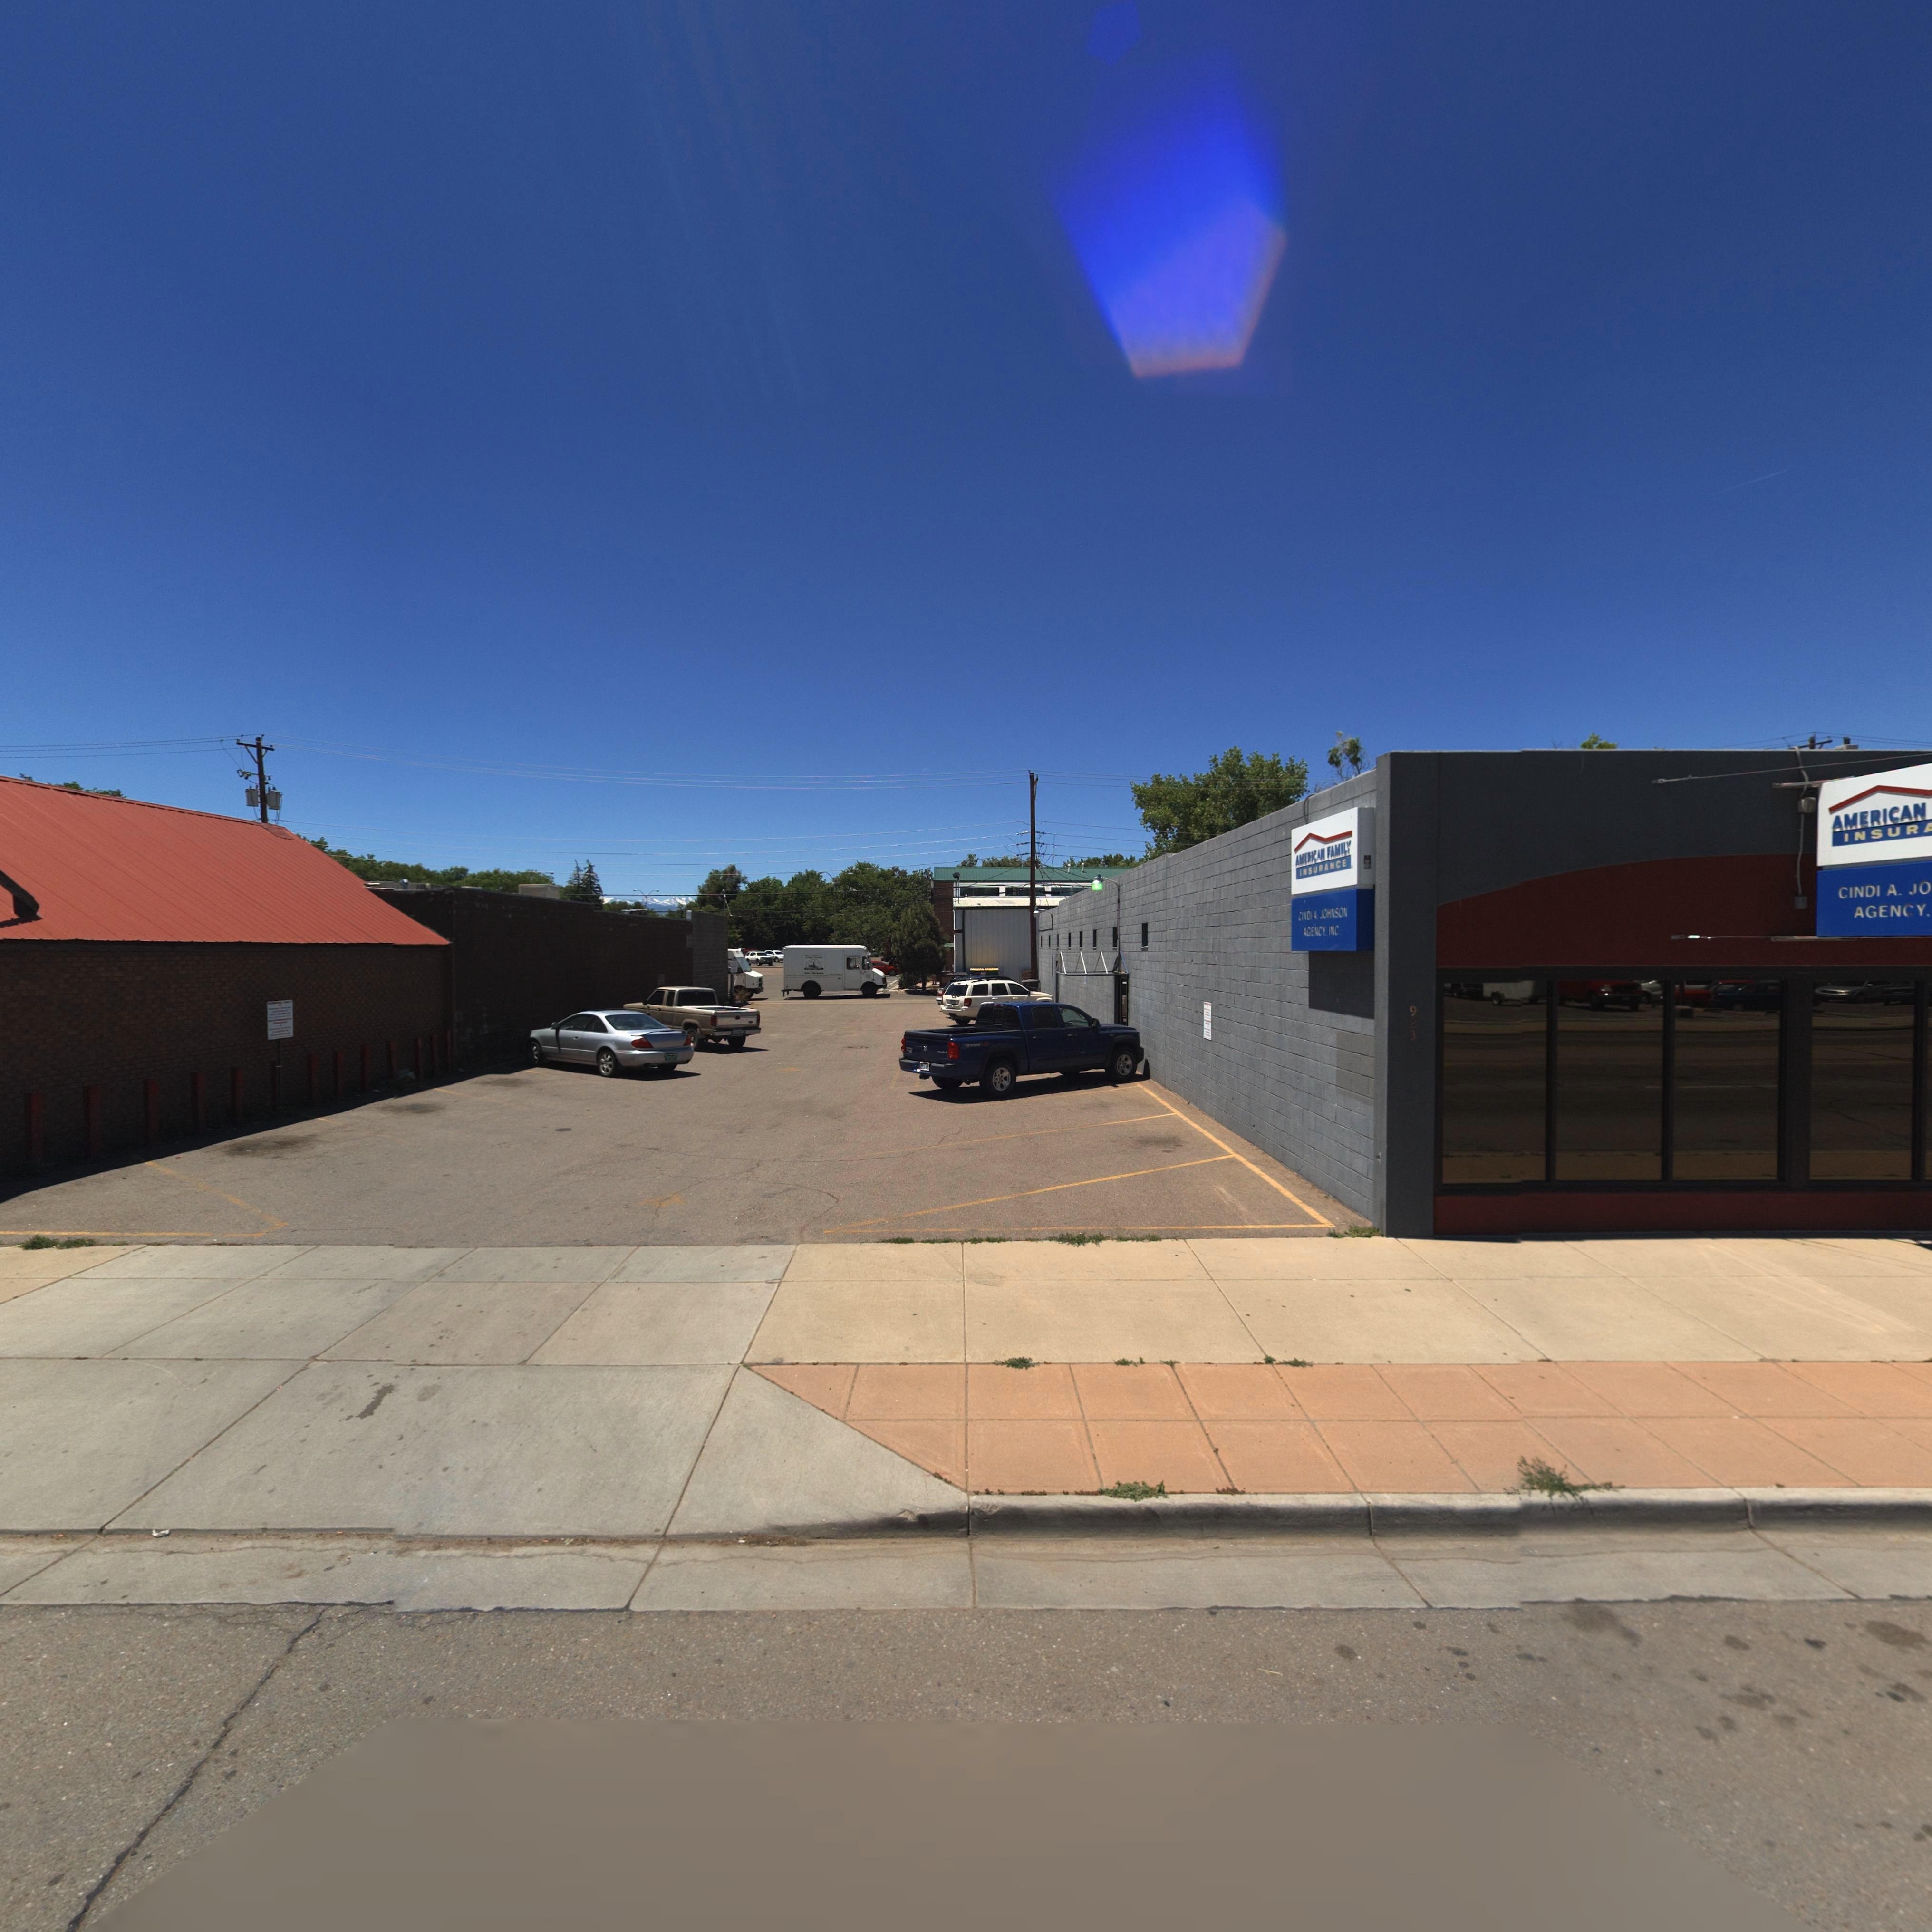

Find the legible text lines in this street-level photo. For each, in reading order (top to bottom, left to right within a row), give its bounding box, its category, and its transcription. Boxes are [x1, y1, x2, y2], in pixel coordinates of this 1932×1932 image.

[1831, 802, 1926, 830] BusinessName: AMERICAN
[1843, 824, 1919, 842] BusinessName: INSUR
[1295, 840, 1351, 866] BusinessName: AMERICAN FAMILY
[1299, 858, 1347, 876] BusinessName: INSURANCE
[1408, 1004, 1417, 1041] StreetNumber: 923